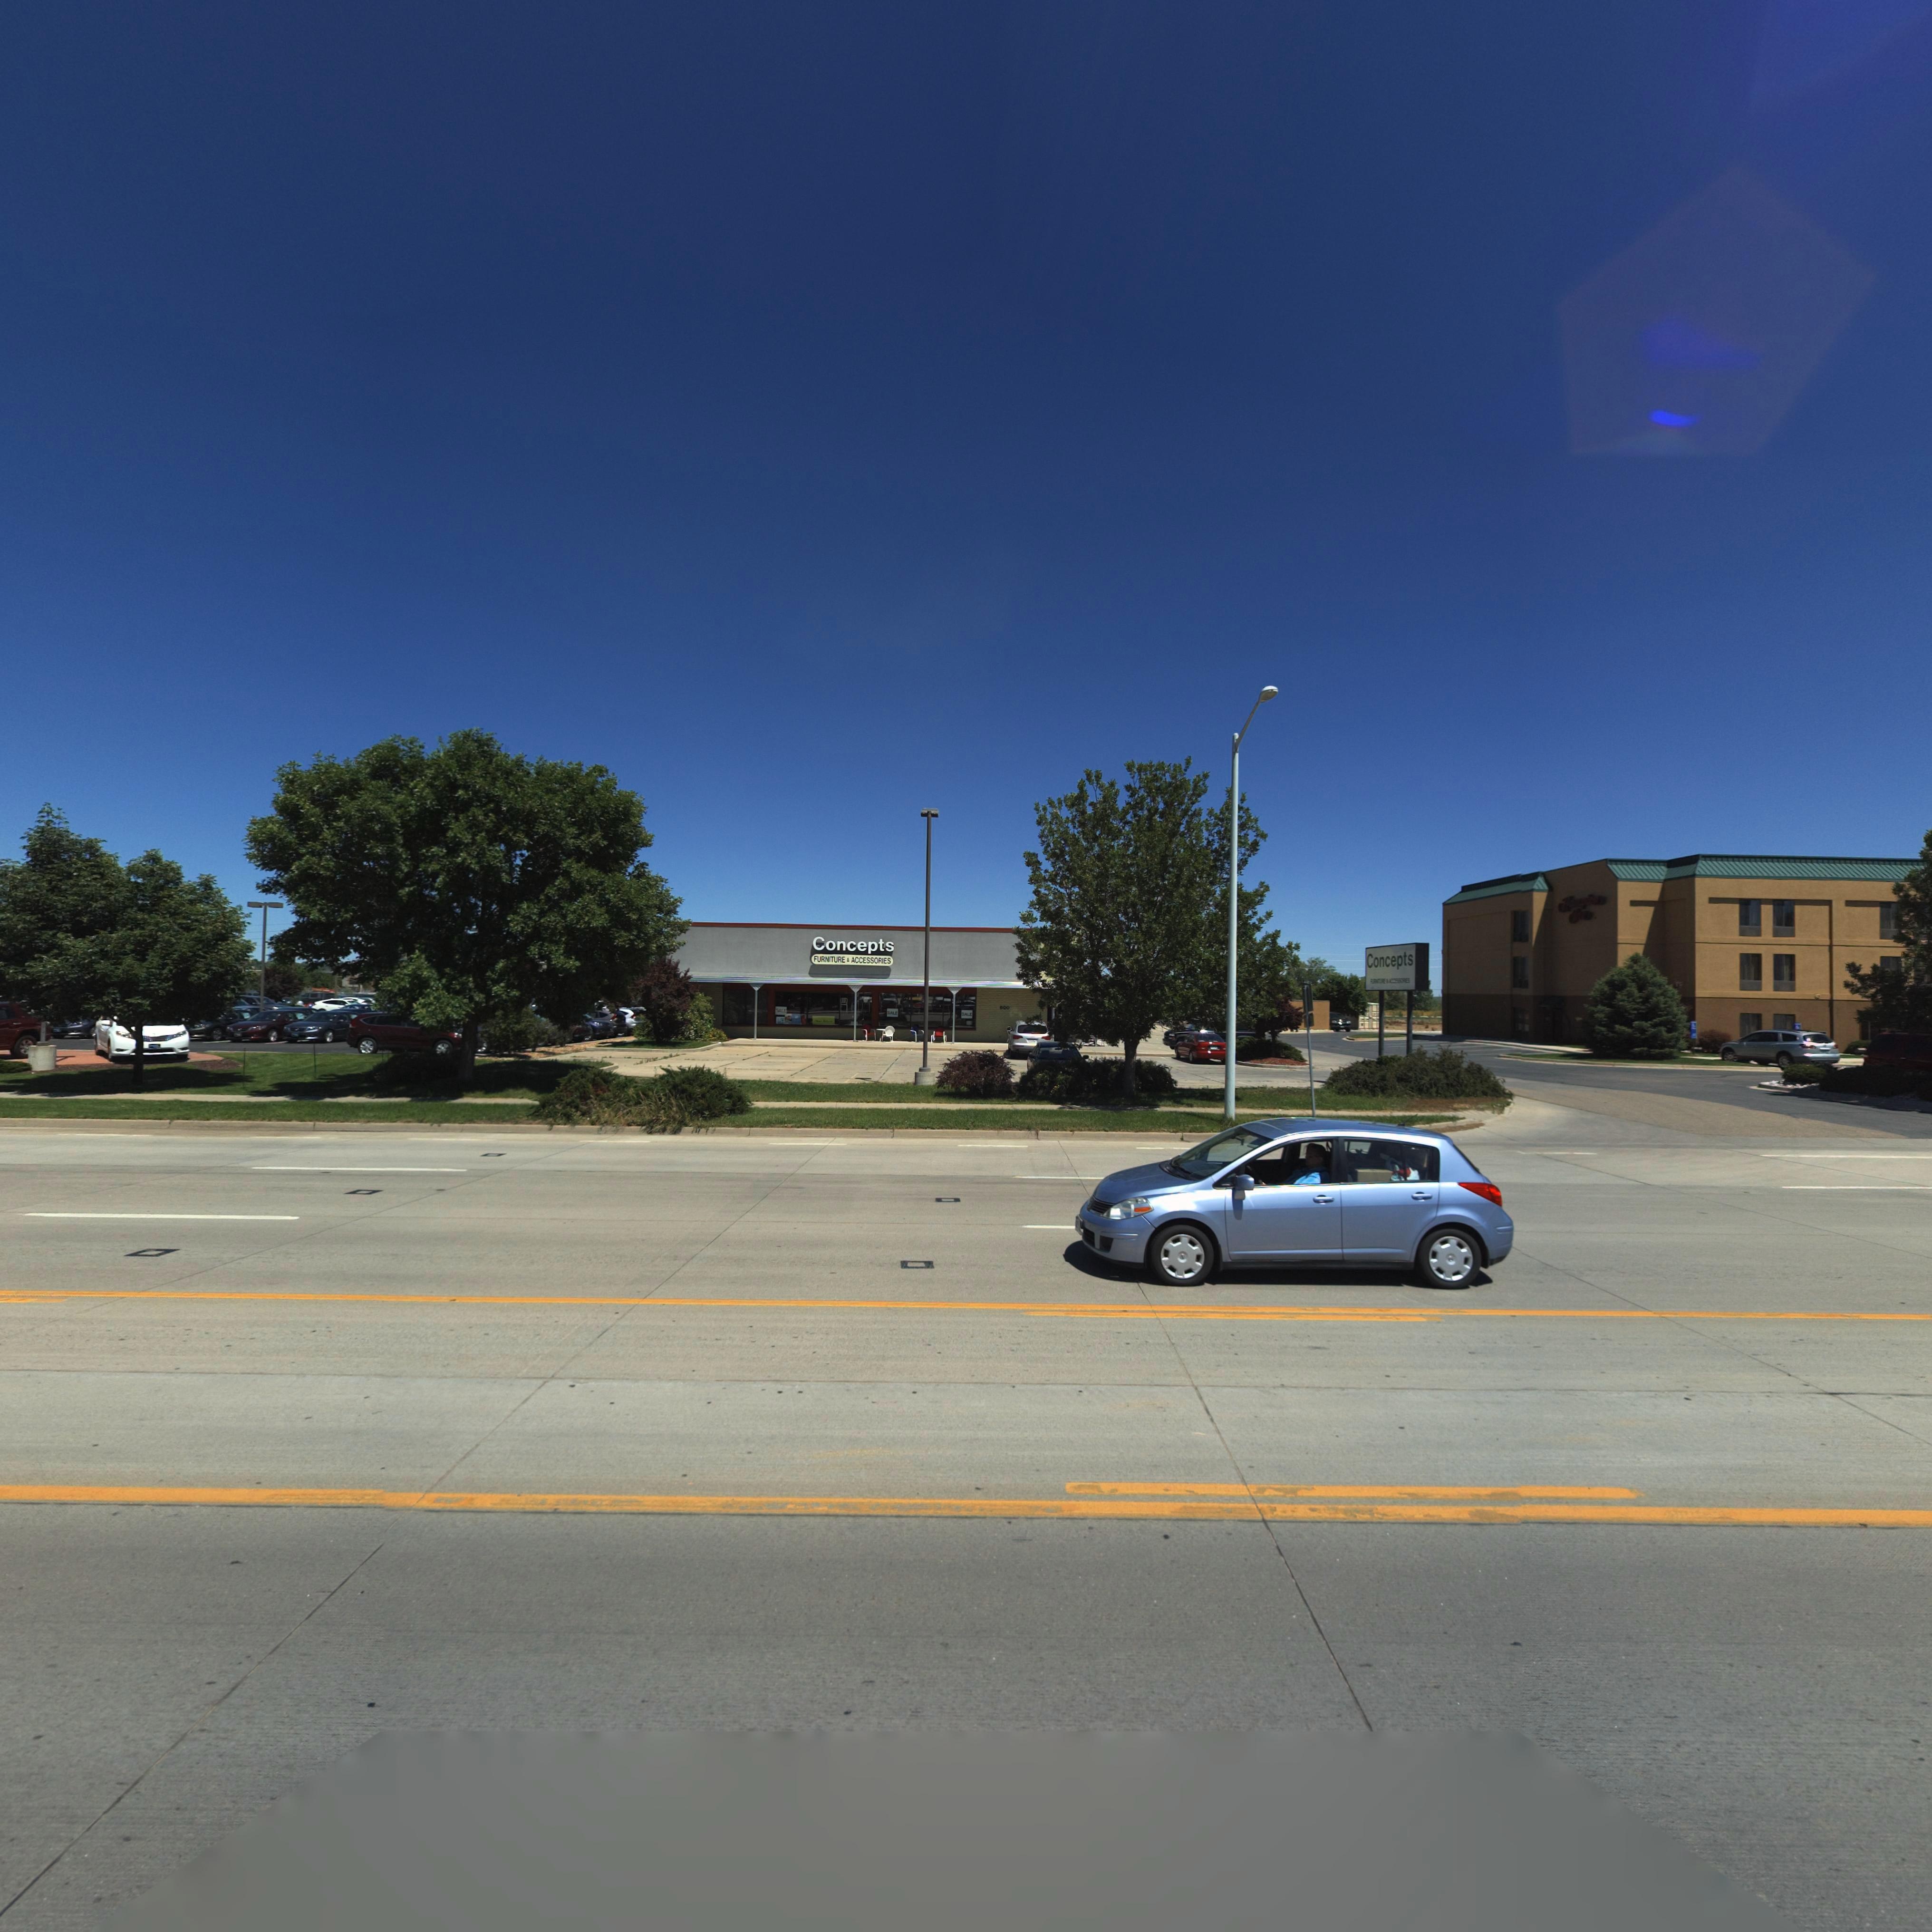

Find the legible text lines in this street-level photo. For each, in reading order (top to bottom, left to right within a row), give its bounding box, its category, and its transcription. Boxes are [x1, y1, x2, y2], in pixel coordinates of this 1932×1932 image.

[812, 936, 894, 955] BusinessName: Concepts
[1366, 951, 1413, 970] BusinessName: Concepts
[999, 1005, 1010, 1010] StreetNumber: 800